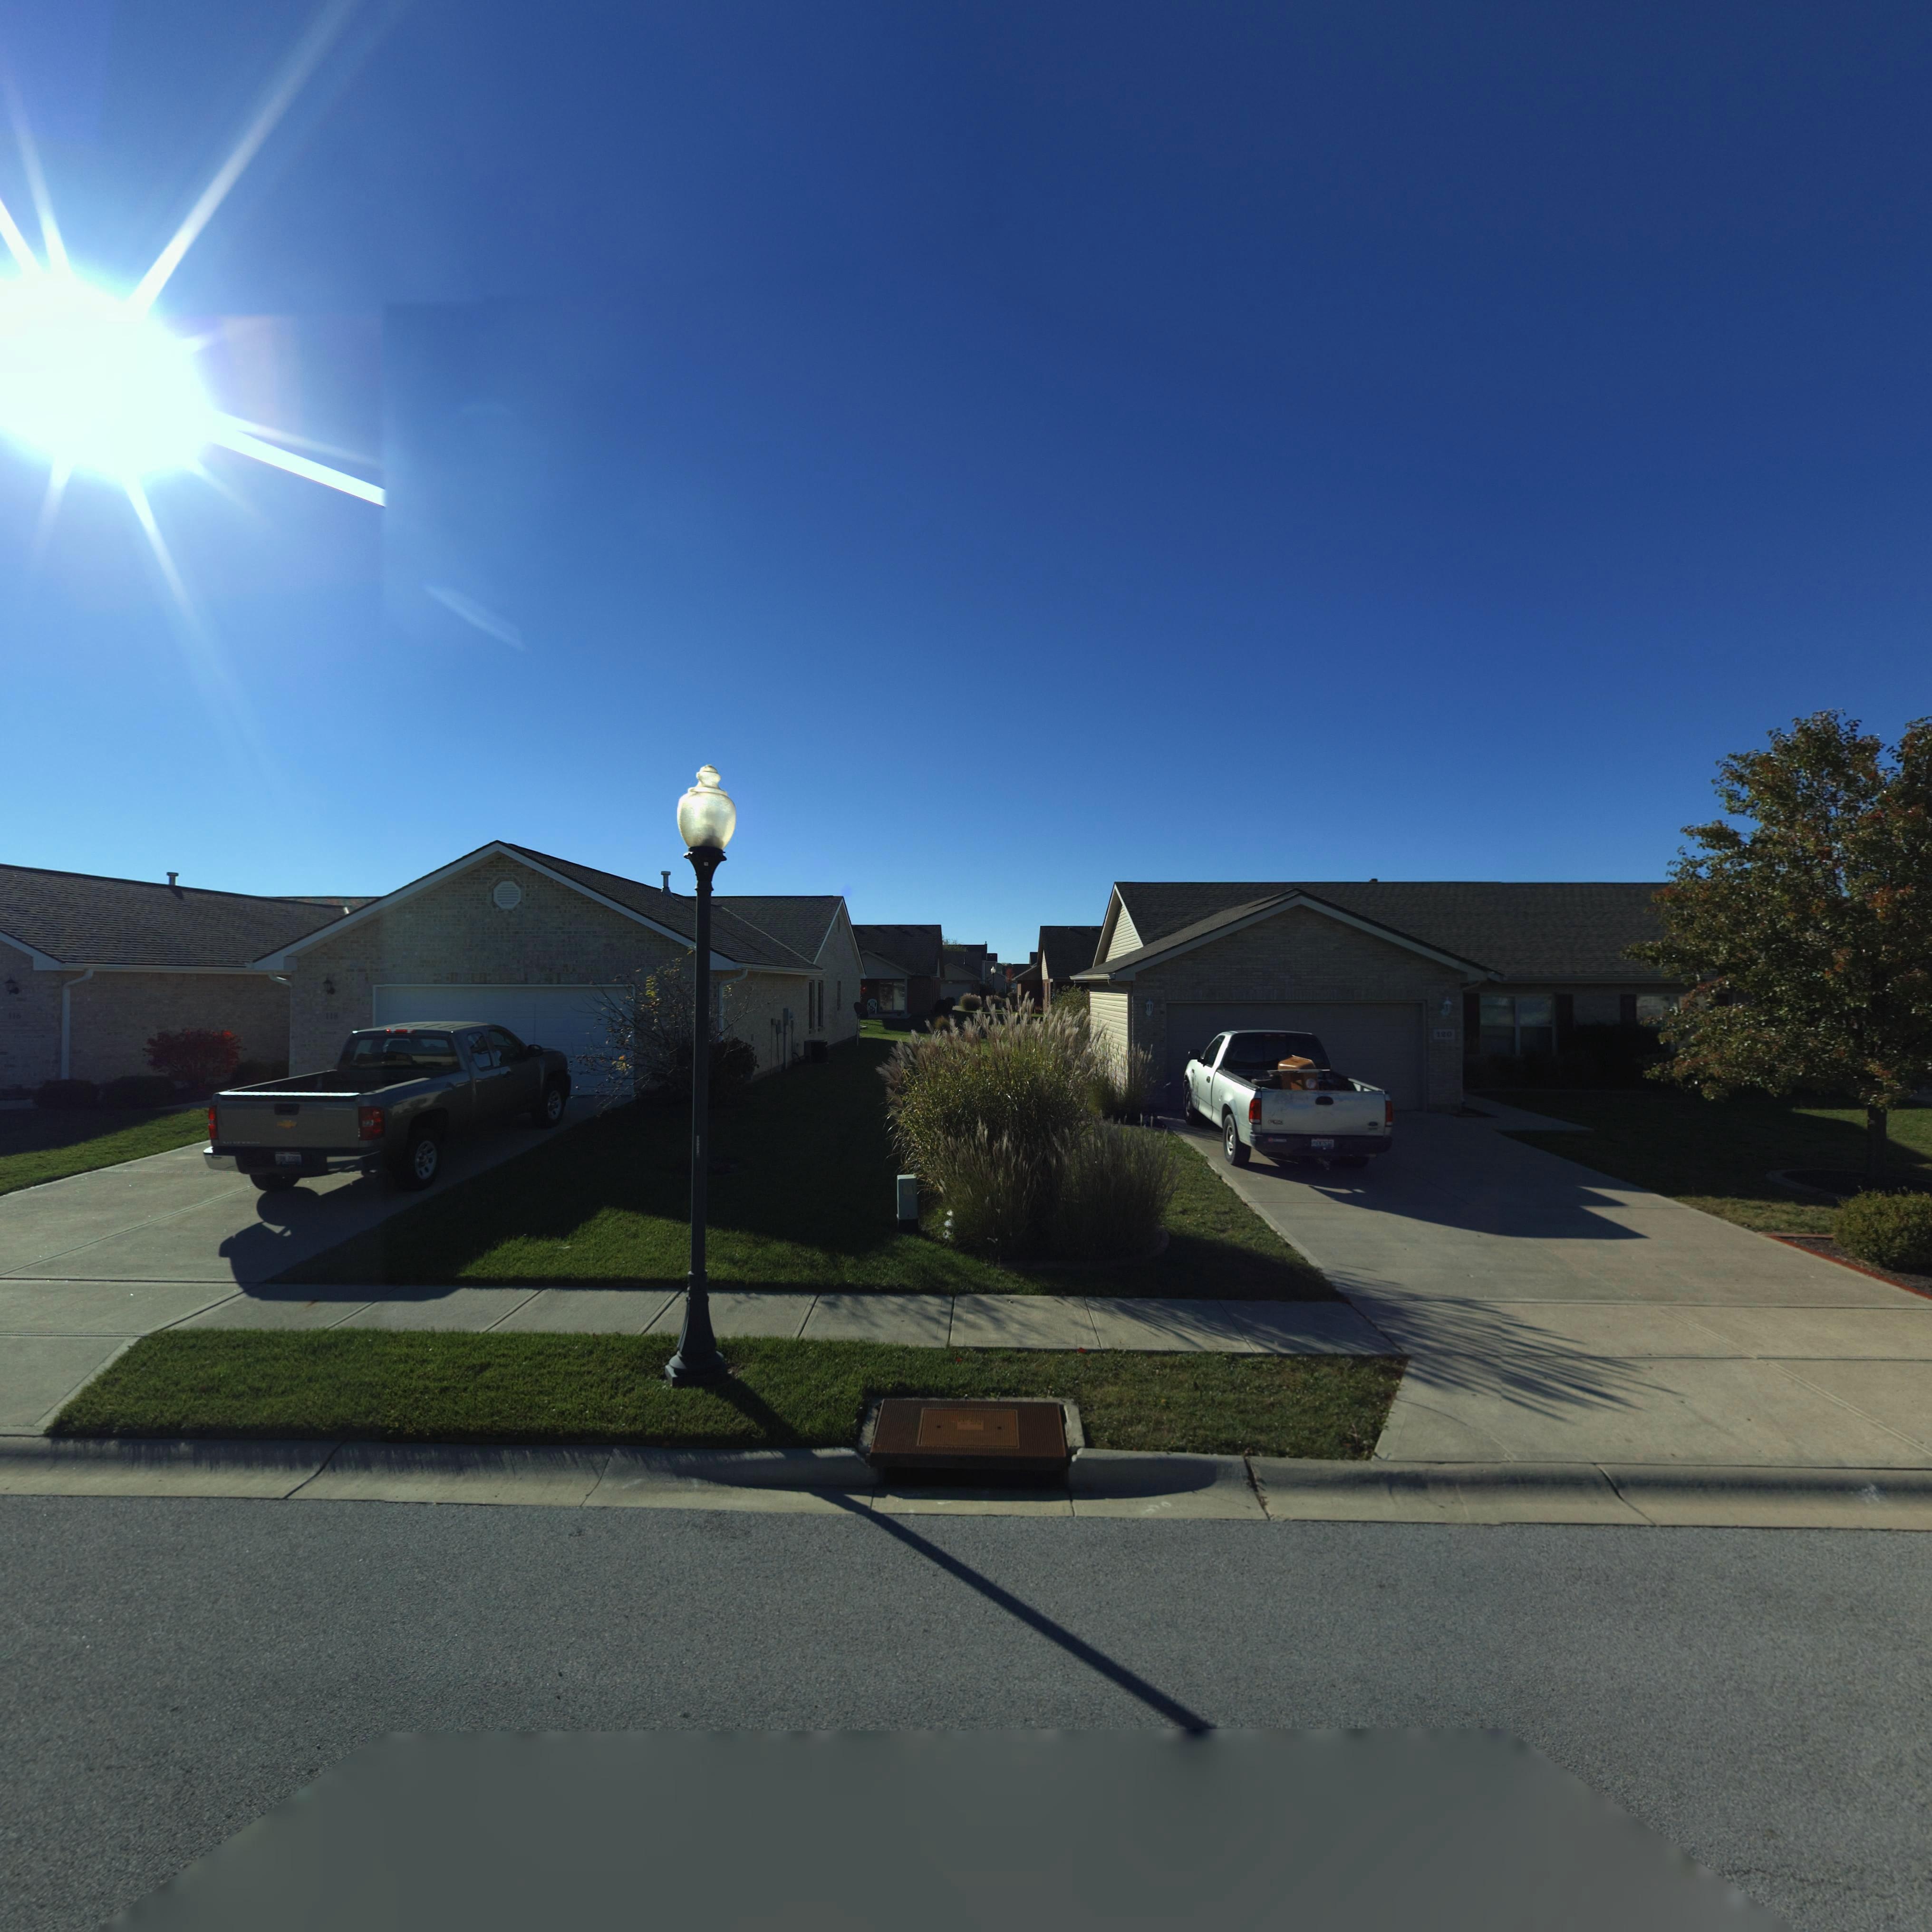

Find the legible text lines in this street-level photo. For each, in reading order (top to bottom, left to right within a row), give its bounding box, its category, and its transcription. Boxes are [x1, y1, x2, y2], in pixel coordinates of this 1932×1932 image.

[325, 1012, 338, 1020] StreetNumber: 118
[1436, 1030, 1453, 1038] StreetNumber: 1*0